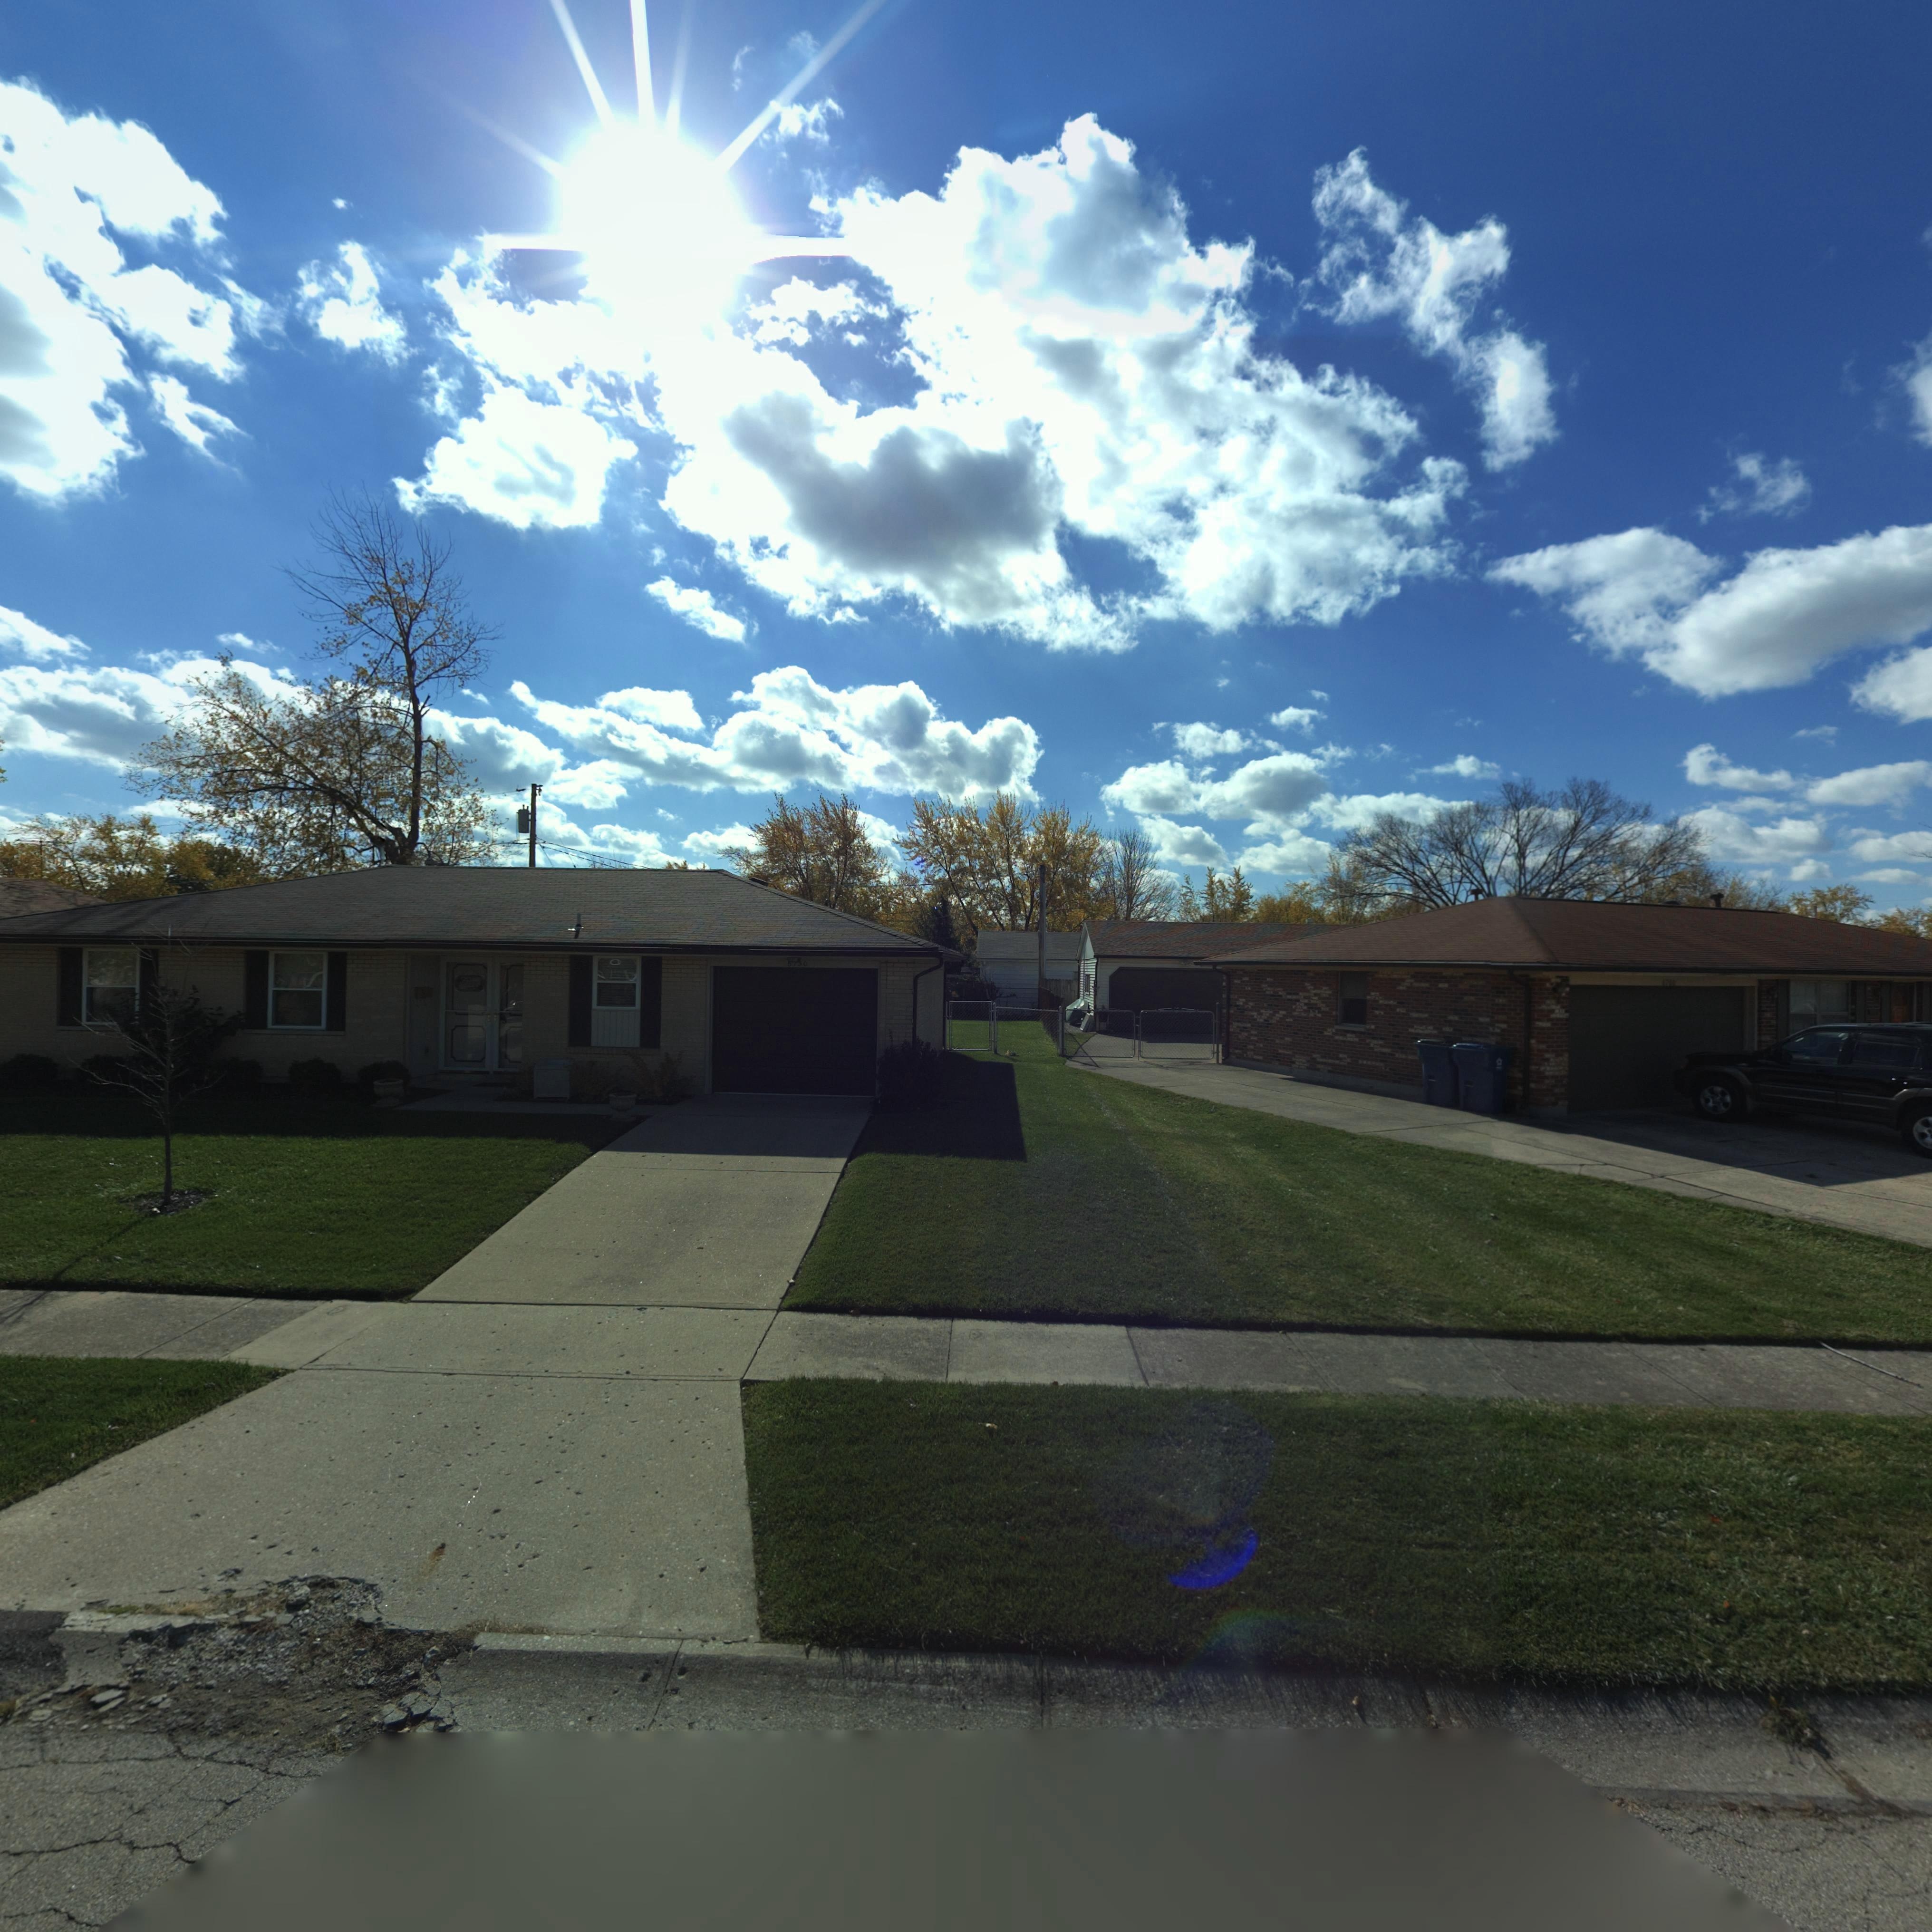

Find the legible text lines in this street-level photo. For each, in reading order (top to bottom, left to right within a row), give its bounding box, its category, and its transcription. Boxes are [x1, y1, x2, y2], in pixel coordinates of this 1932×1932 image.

[787, 960, 808, 967] StreetNumber: 67*0
[1661, 978, 1676, 986] StreetNumber: 6700